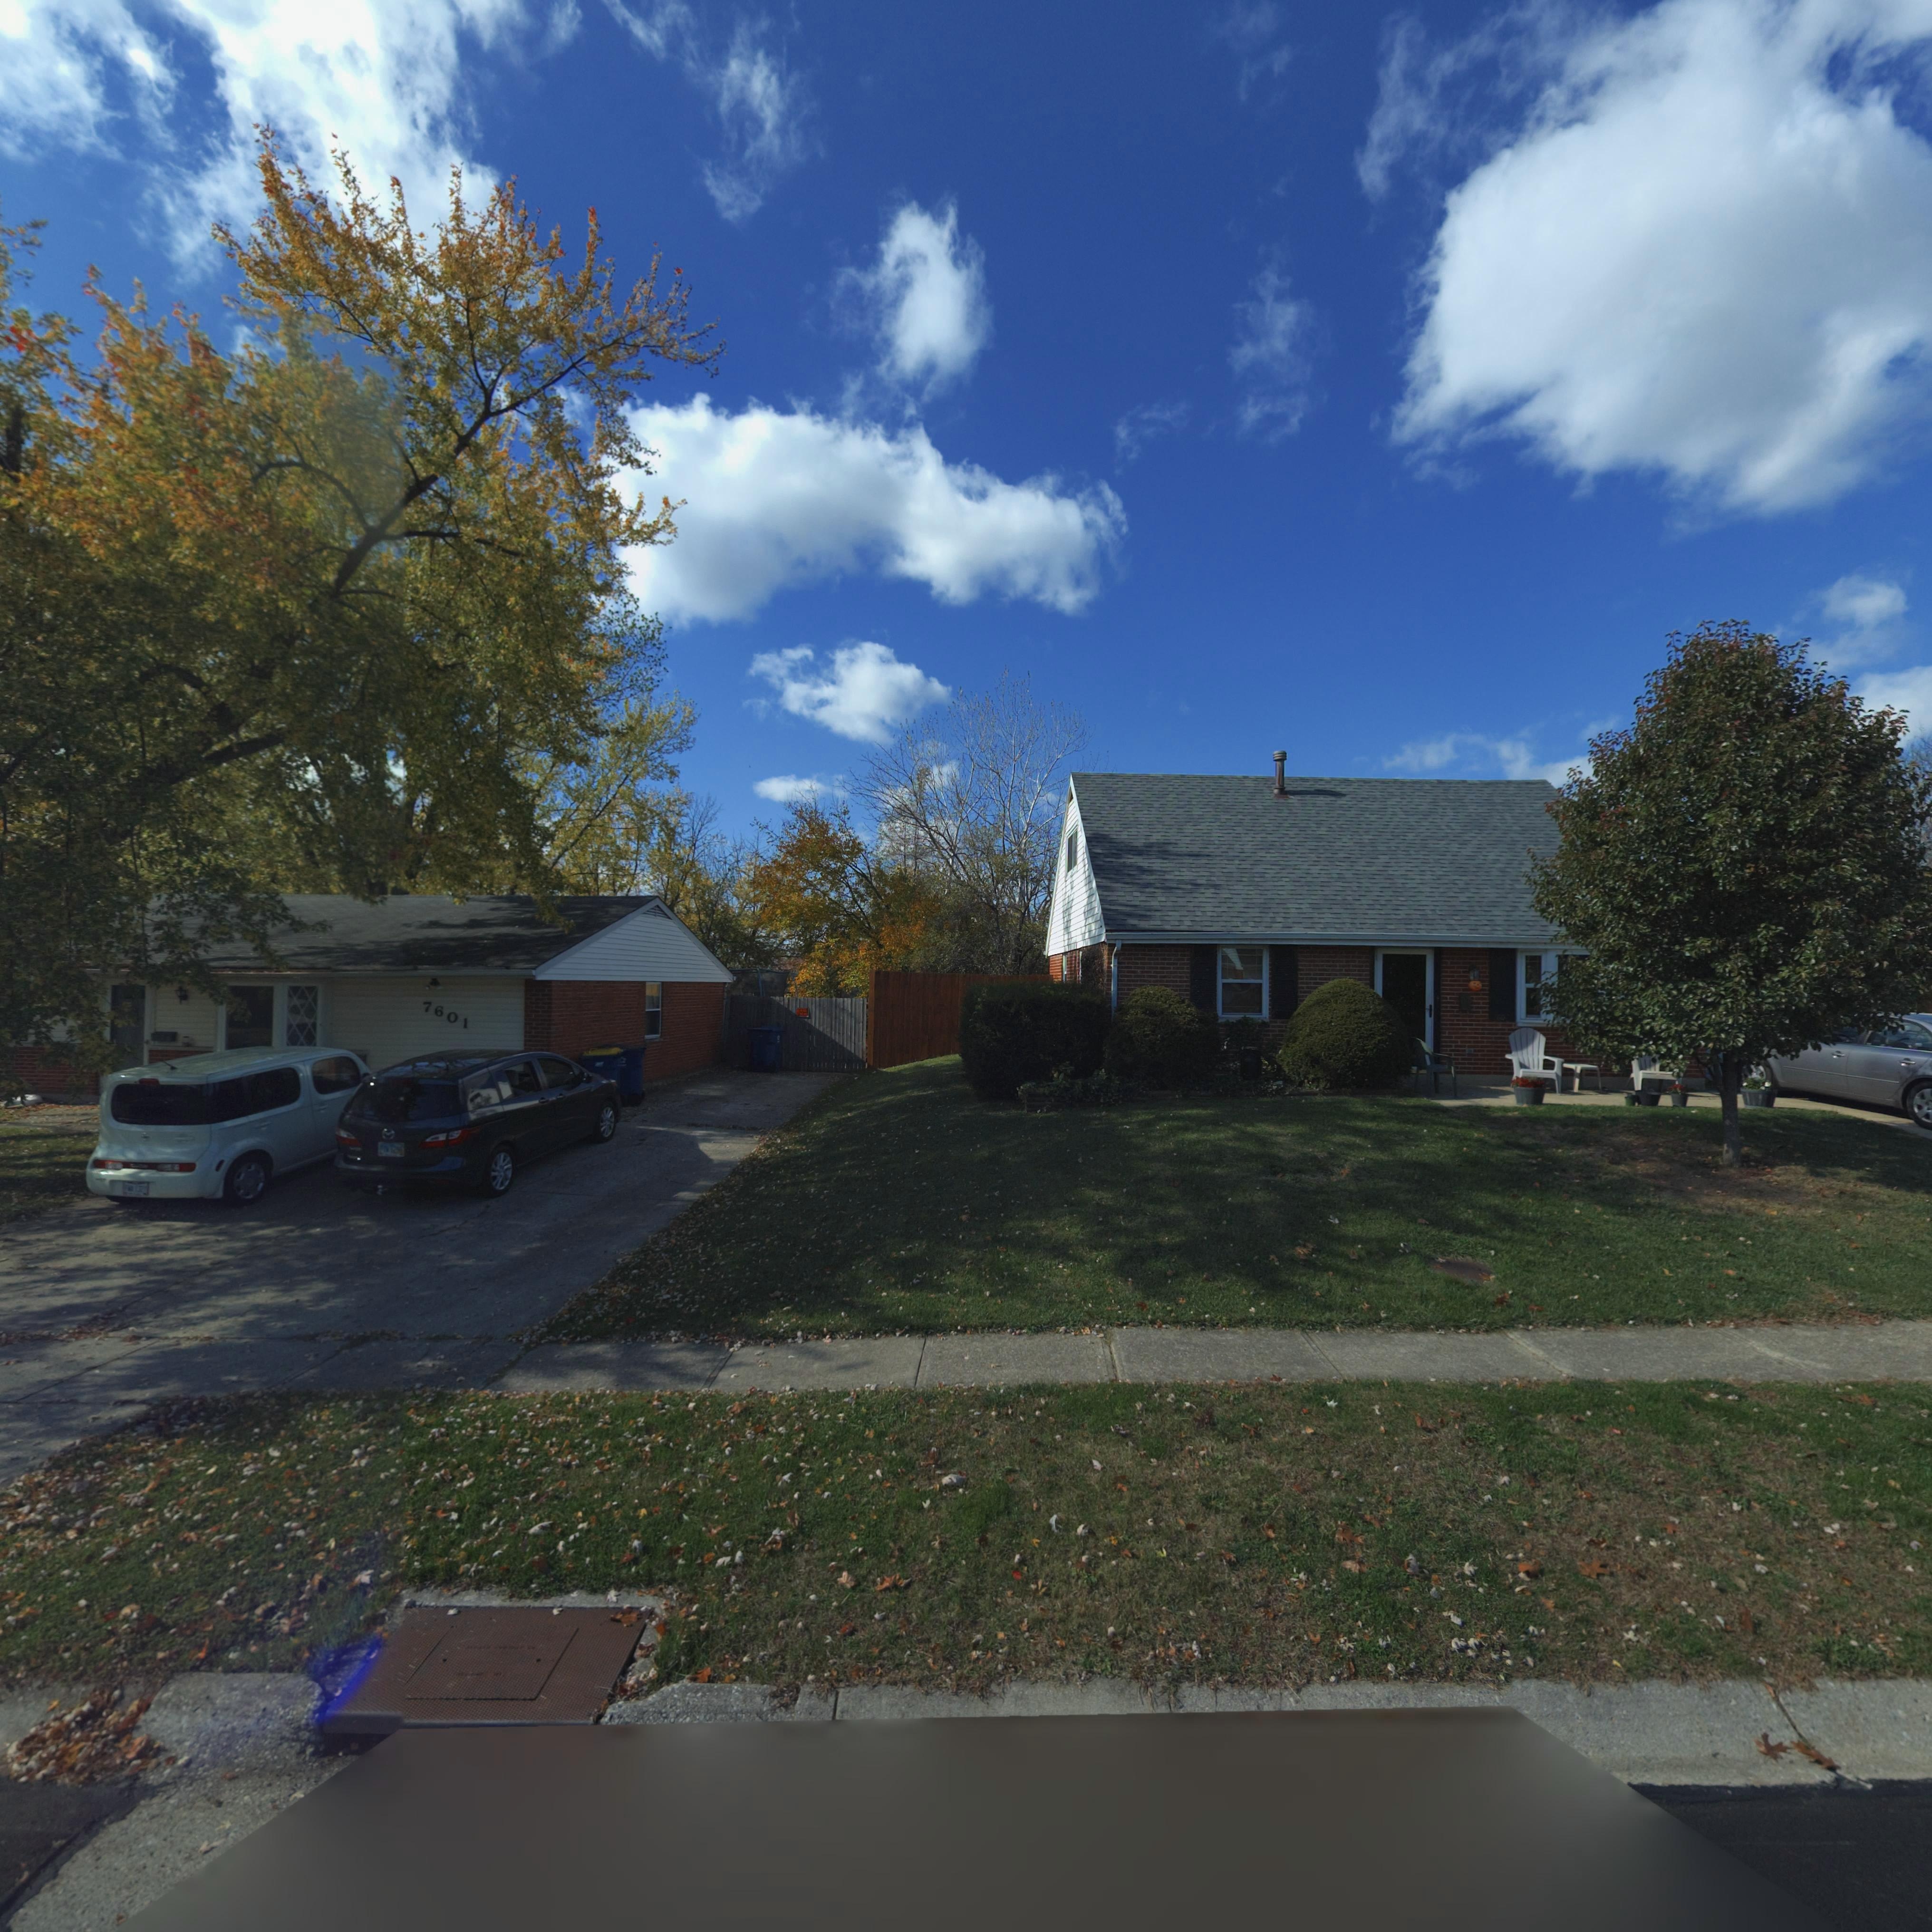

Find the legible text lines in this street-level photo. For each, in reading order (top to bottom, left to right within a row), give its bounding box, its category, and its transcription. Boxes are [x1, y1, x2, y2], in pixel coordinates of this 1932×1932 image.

[423, 1001, 468, 1029] StreetNumber: 7601